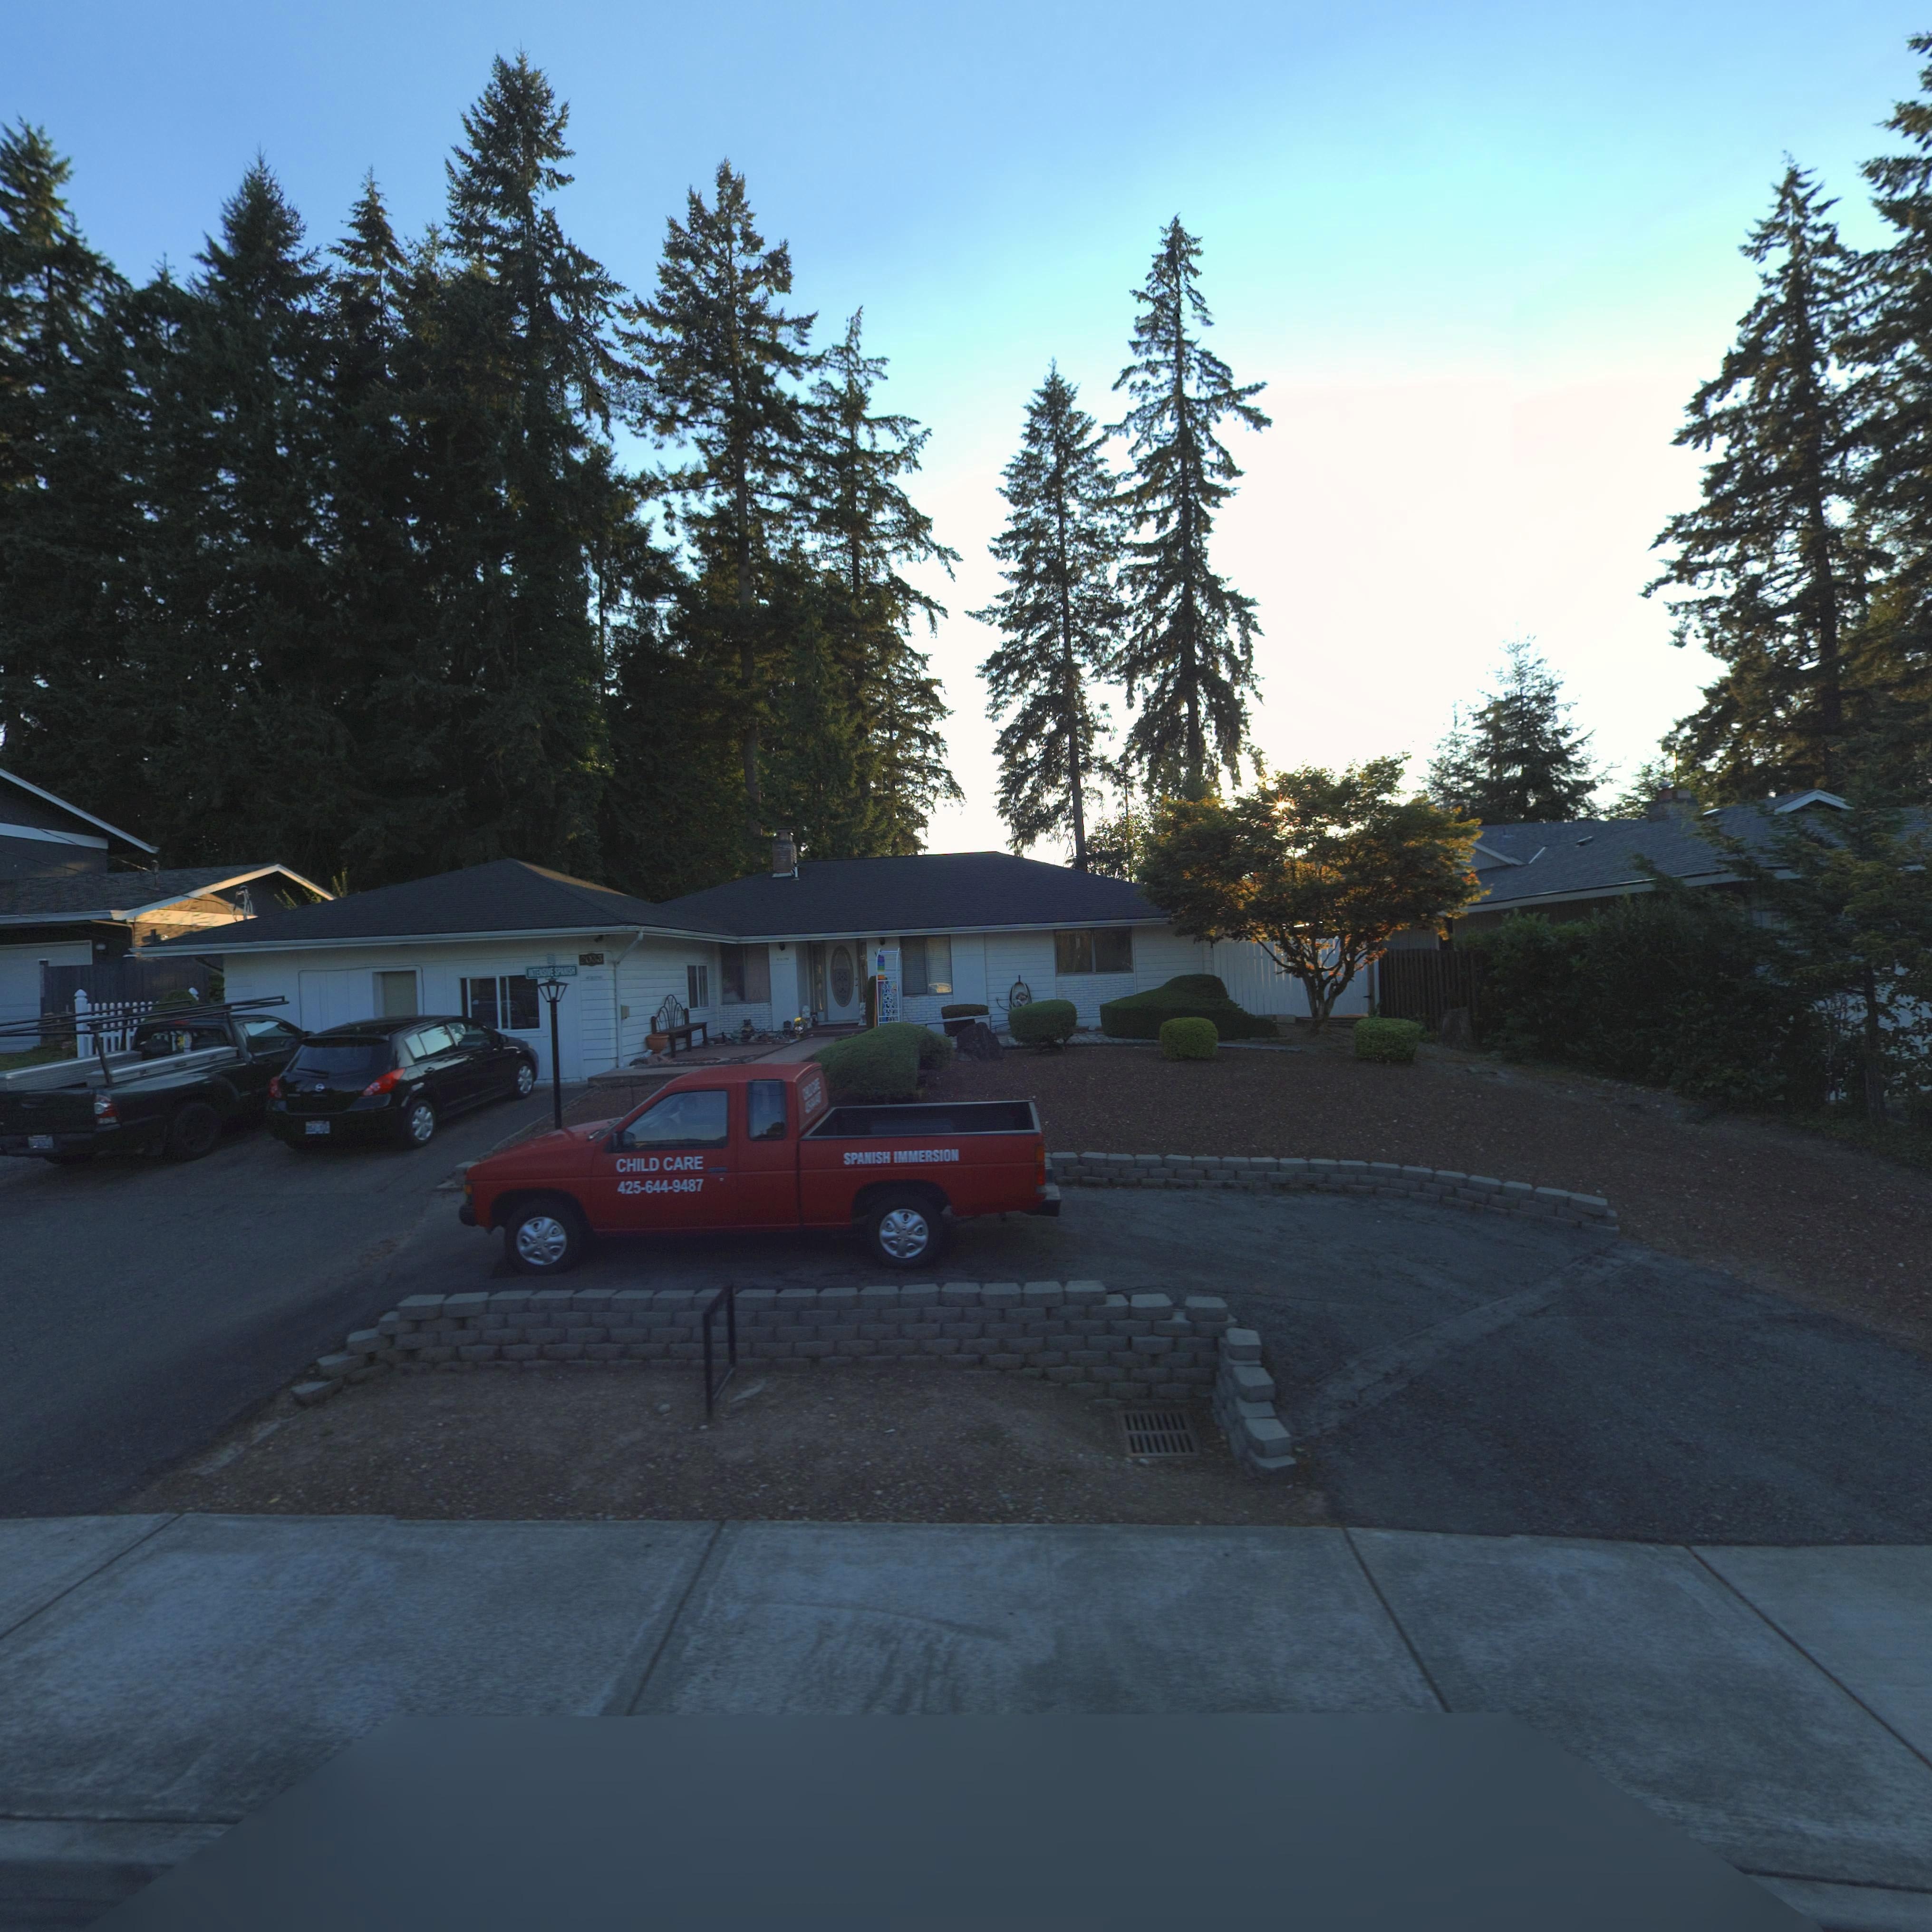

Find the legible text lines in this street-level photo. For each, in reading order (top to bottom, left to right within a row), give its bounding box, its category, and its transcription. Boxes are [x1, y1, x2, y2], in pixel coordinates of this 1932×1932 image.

[579, 954, 603, 964] StreetNumber: 2033
[528, 966, 575, 977] BusinessName: INTENSIVE SPANISH